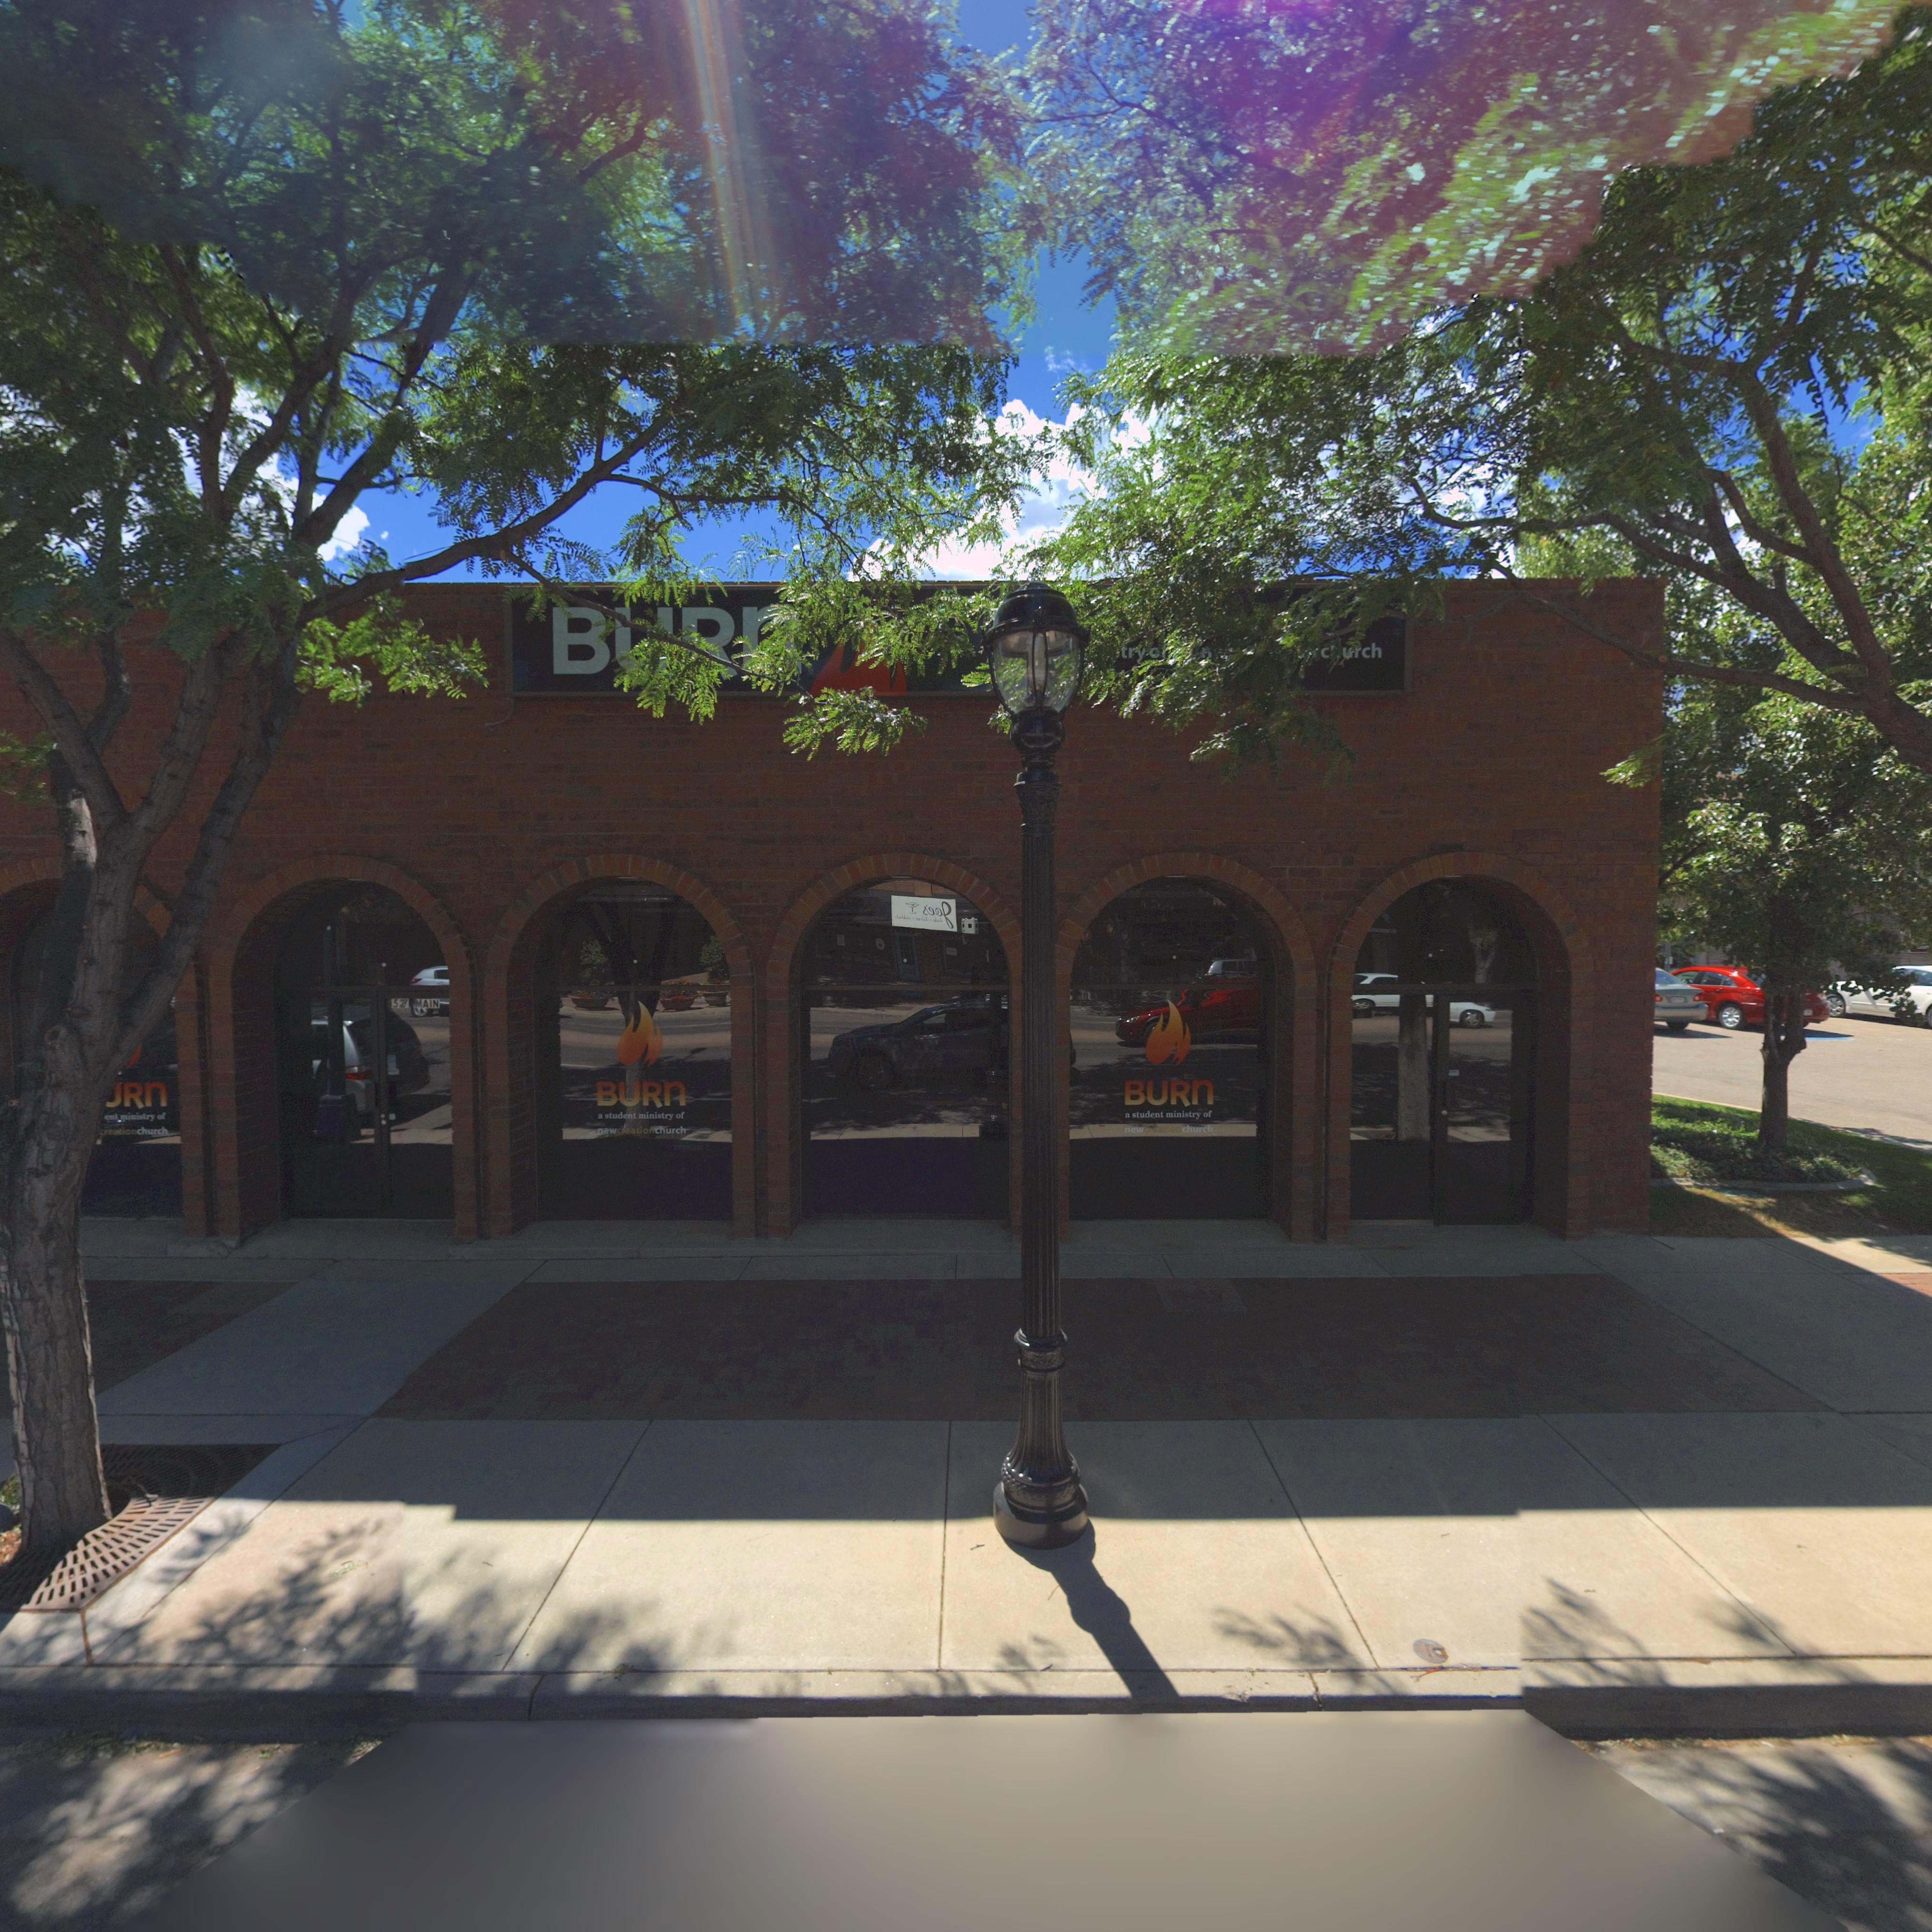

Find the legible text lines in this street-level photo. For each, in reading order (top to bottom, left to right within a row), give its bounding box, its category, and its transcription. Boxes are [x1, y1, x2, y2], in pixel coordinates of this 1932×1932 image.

[551, 606, 802, 675] BusinessName: B***
[1120, 645, 1159, 662] BusinessName: *ry*
[1320, 642, 1382, 658] BusinessName: c***ch
[392, 999, 408, 1008] StreetNumber: 52*
[414, 998, 438, 1008] StreetName: MAIN
[105, 1081, 167, 1107] BusinessName: *Rn
[596, 1080, 686, 1106] BusinessName: BURn
[1124, 1079, 1213, 1105] BusinessName: BURn
[104, 1111, 166, 1121] BusinessName: e*t ministry of
[598, 1111, 685, 1120] BusinessName: a student ministry of
[1125, 1110, 1212, 1119] BusinessName: a student ministry of
[99, 1126, 168, 1135] BusinessName: *****ionchurch
[598, 1125, 686, 1134] BusinessName: newc*ea**onchurch
[1124, 1124, 1213, 1133] BusinessName: new********church